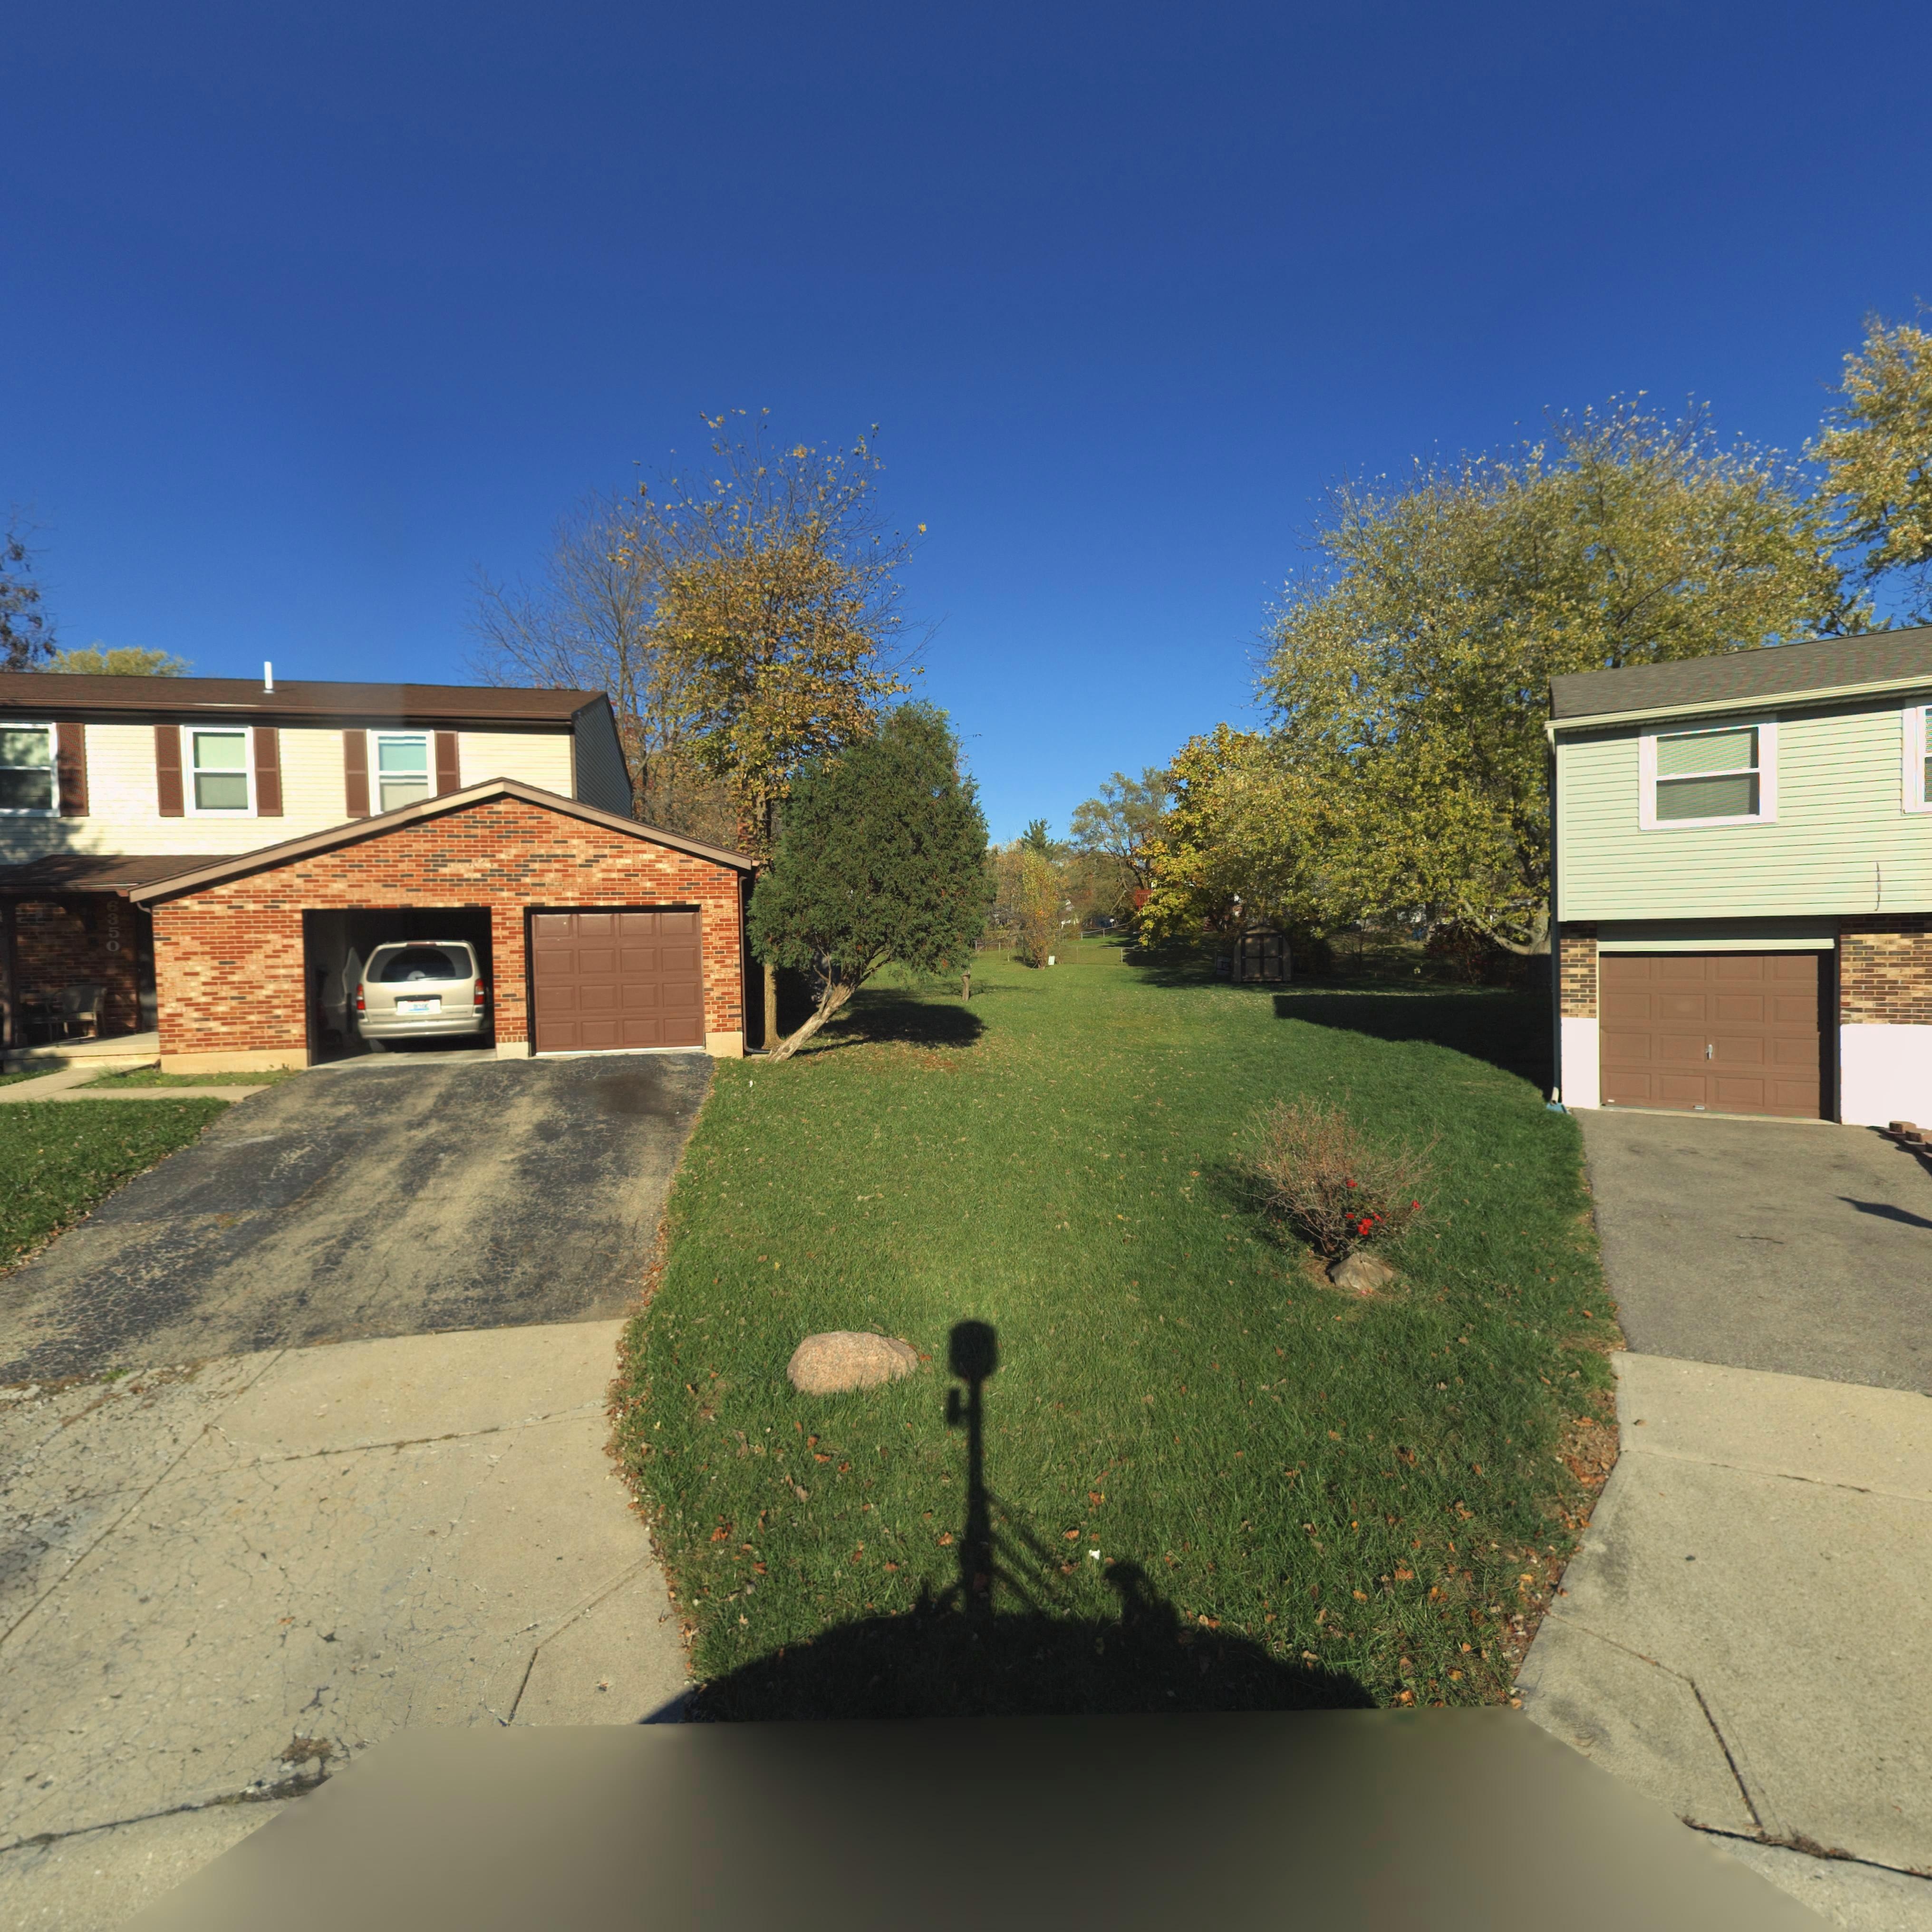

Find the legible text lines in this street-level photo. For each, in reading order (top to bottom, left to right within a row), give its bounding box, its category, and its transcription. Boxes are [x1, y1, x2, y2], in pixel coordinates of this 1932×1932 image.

[104, 898, 121, 954] StreetNumber: 6350